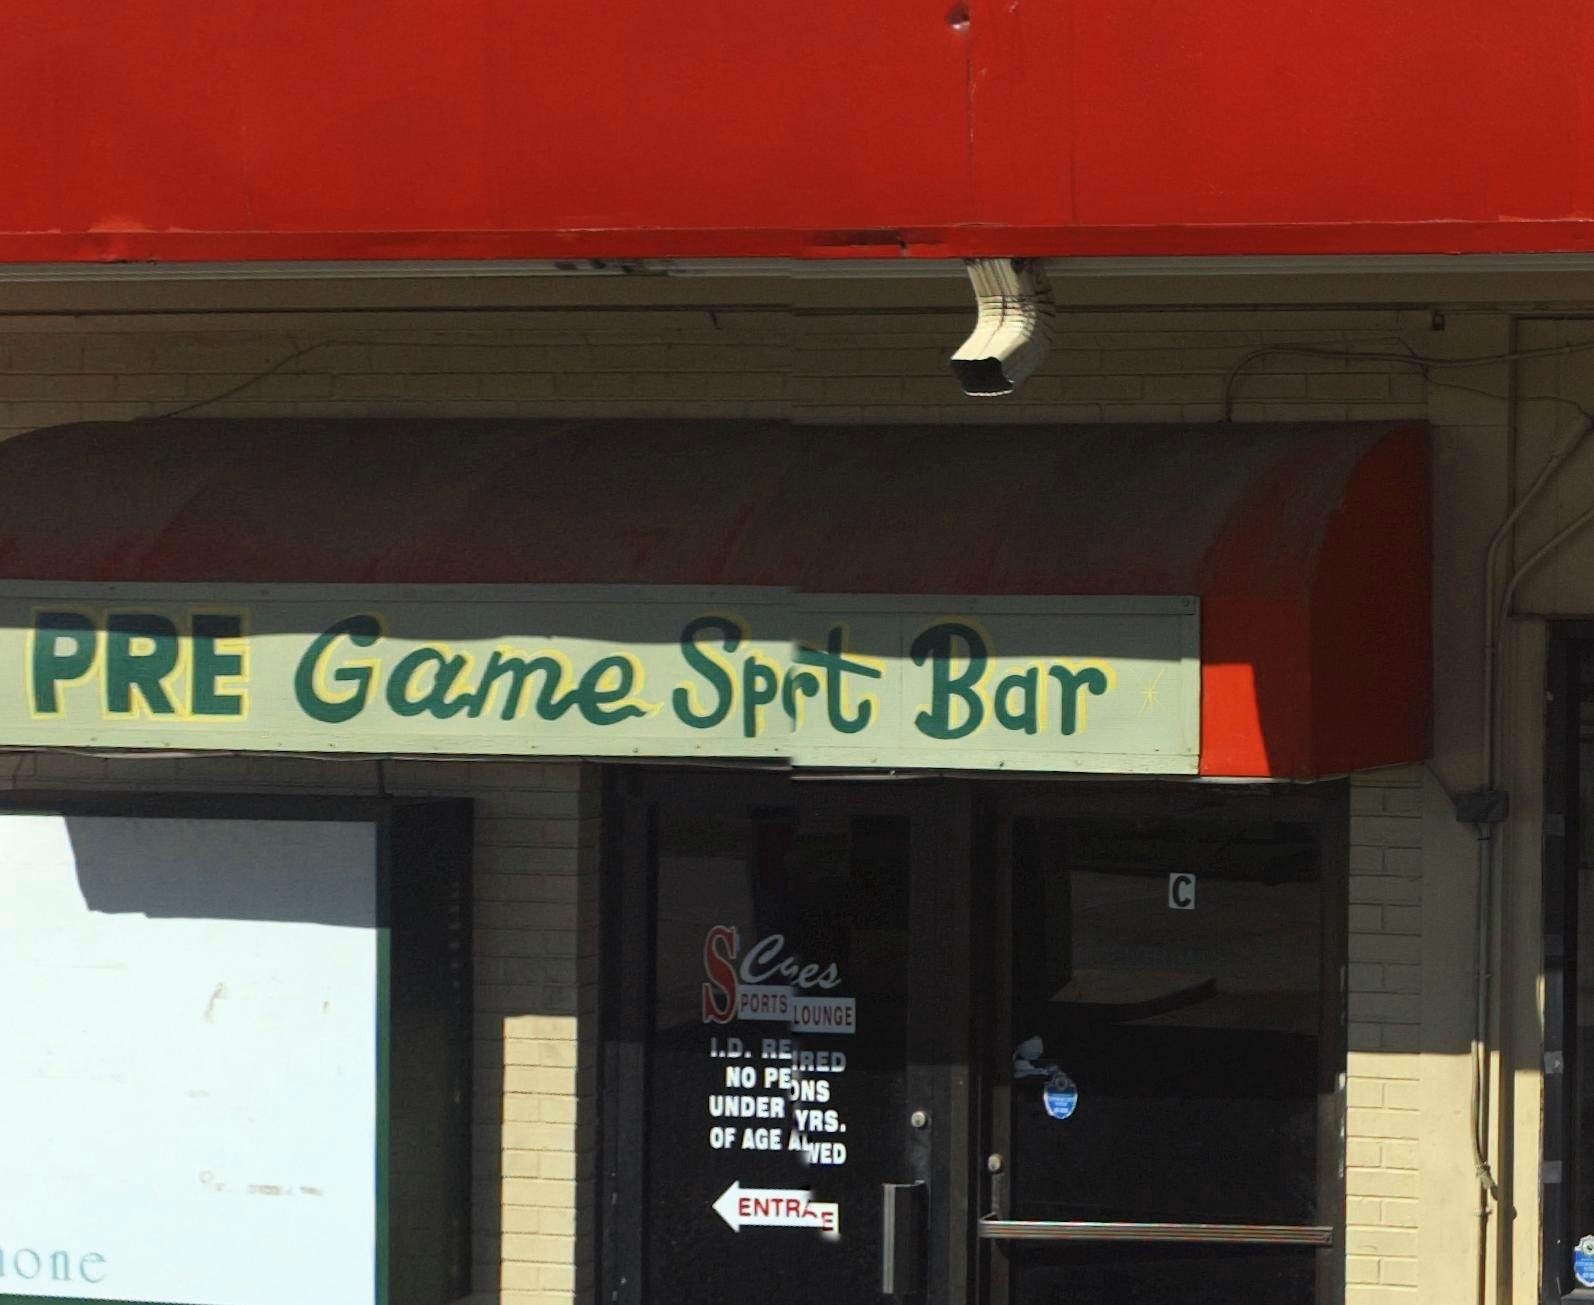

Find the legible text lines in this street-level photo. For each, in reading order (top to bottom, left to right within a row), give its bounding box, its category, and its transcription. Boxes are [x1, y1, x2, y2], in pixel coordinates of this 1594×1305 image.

[28, 608, 1120, 742] BusinessName: PRE Game Sprt Bar
[1168, 873, 1194, 909] SecondaryUnitDesignator: C
[701, 922, 855, 1026] BusinessName: SPORTS LOUNGE
[738, 931, 844, 992] BusinessName: C*es
[708, 1036, 849, 1076] None: I.D. REIRED
[724, 1064, 832, 1105] None: NO PE*NS
[707, 1091, 848, 1135] None: UNDER YRS.
[708, 1125, 850, 1167] None: OF AGE A**ED
[737, 1195, 836, 1233] None: ENTR*E
[12, 1247, 110, 1285] None: one